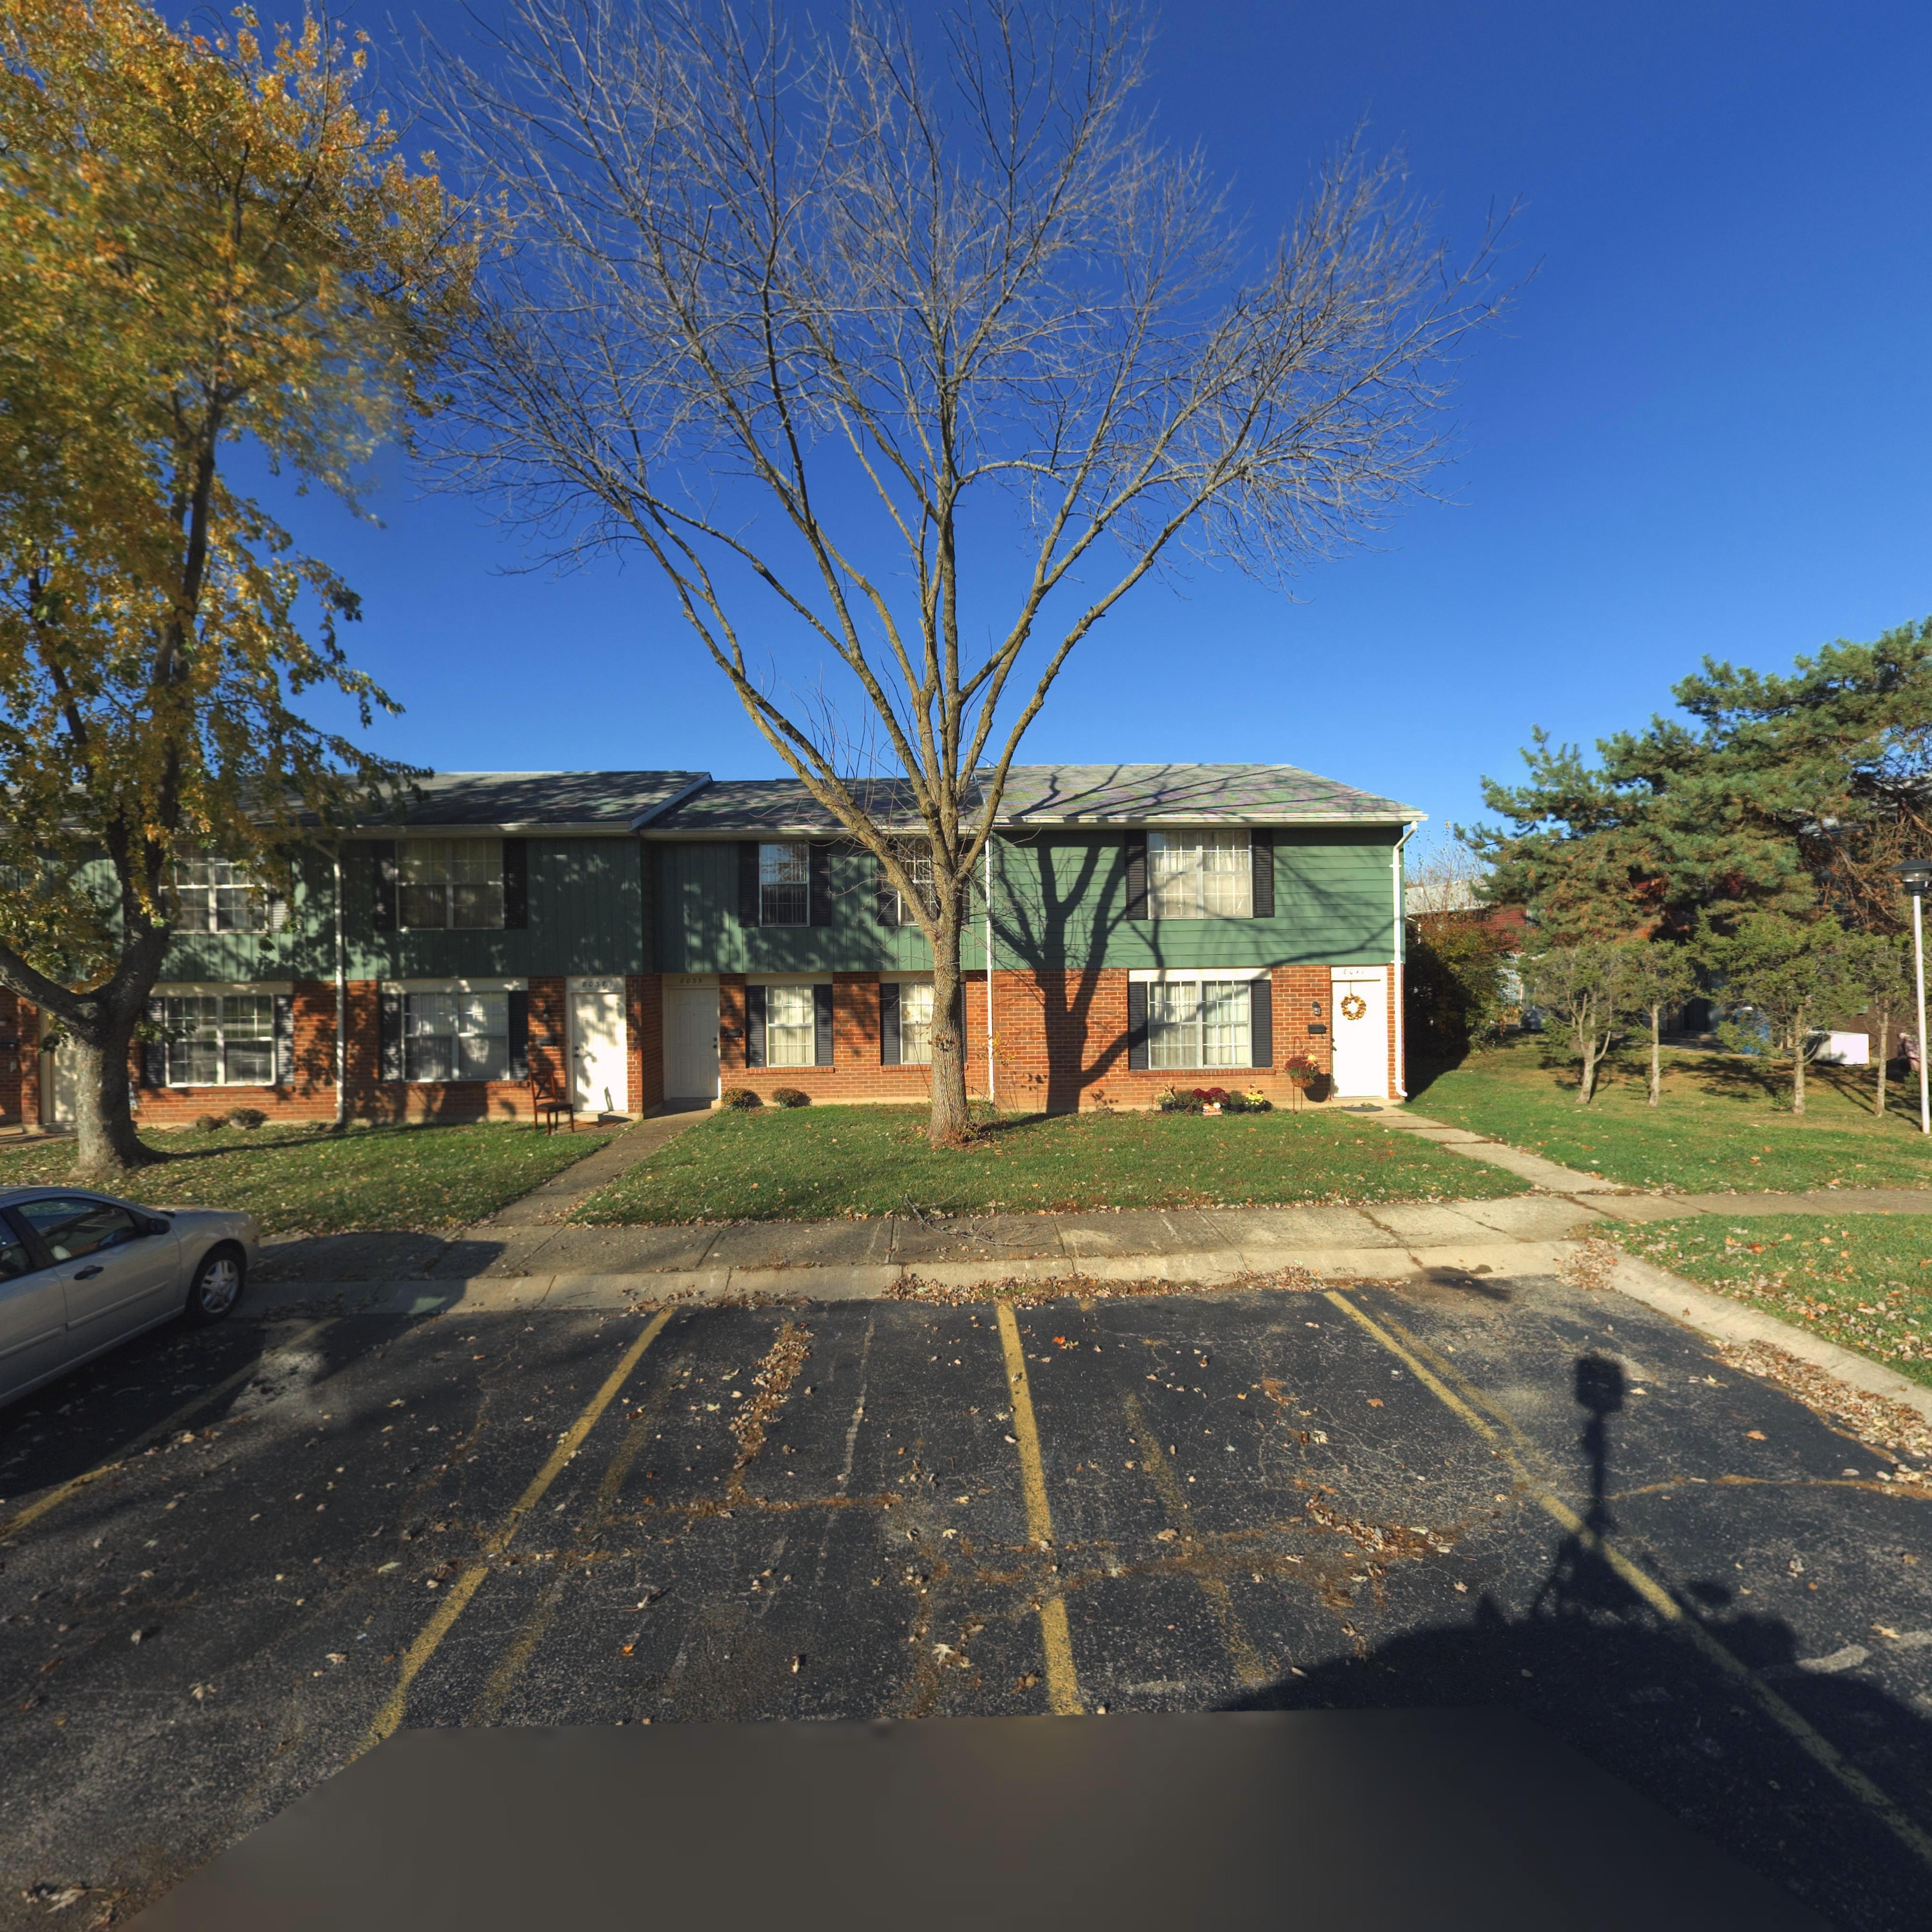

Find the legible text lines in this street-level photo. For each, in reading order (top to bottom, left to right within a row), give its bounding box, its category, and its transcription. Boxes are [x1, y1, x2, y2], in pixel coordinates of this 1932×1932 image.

[1343, 968, 1365, 974] StreetNumber: 8041
[679, 977, 702, 984] StreetNumber: 8039
[581, 980, 606, 988] StreetNumber: 8037